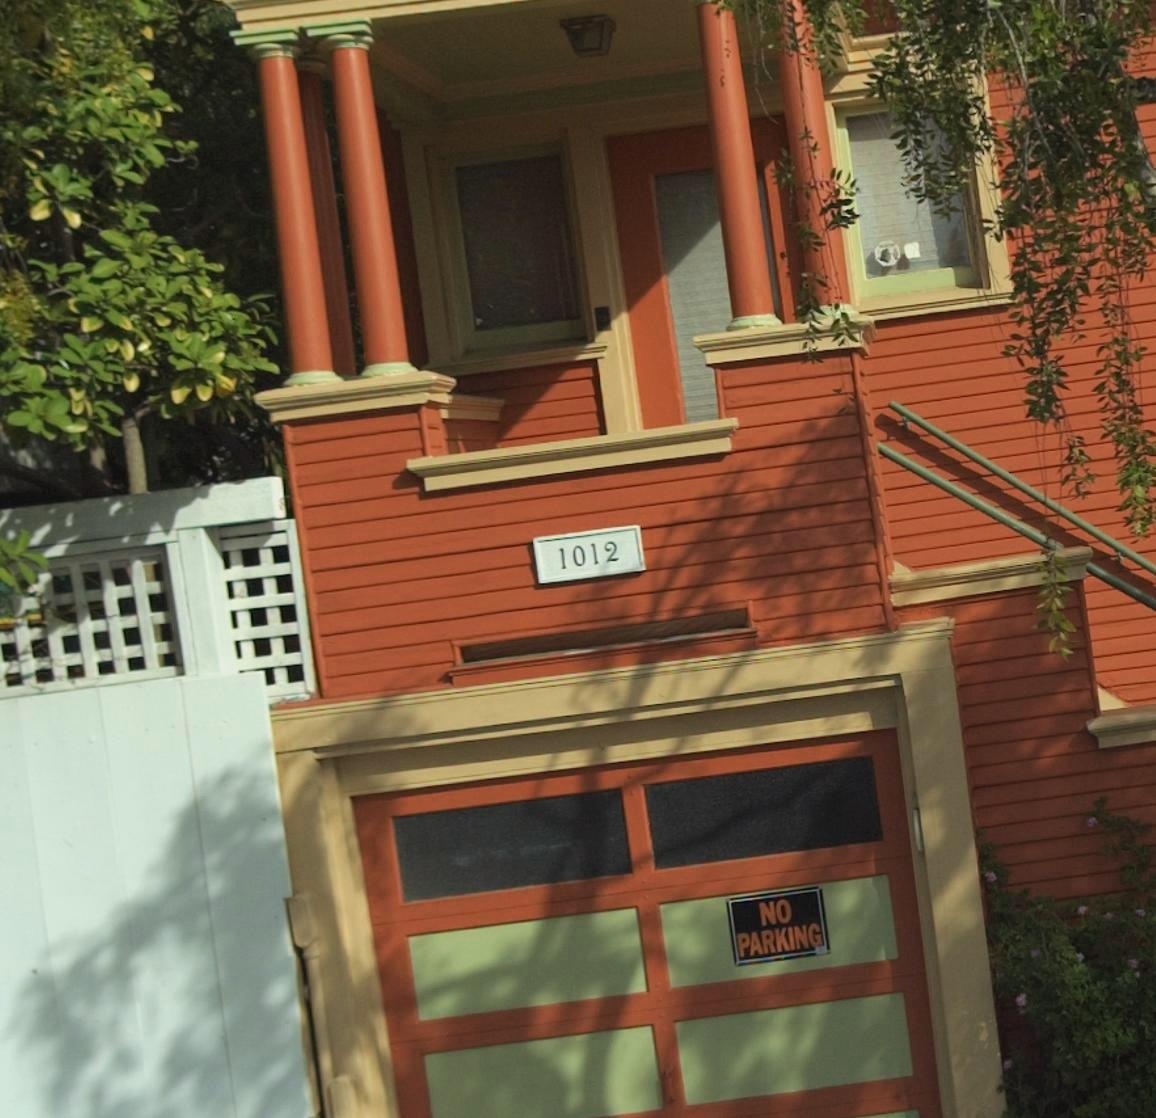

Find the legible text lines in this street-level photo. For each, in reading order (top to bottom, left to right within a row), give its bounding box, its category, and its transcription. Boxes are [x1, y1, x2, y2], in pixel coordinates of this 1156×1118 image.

[553, 538, 622, 572] StreetNumber: 1012
[755, 897, 799, 929] None: NO
[733, 919, 824, 961] None: PARKING